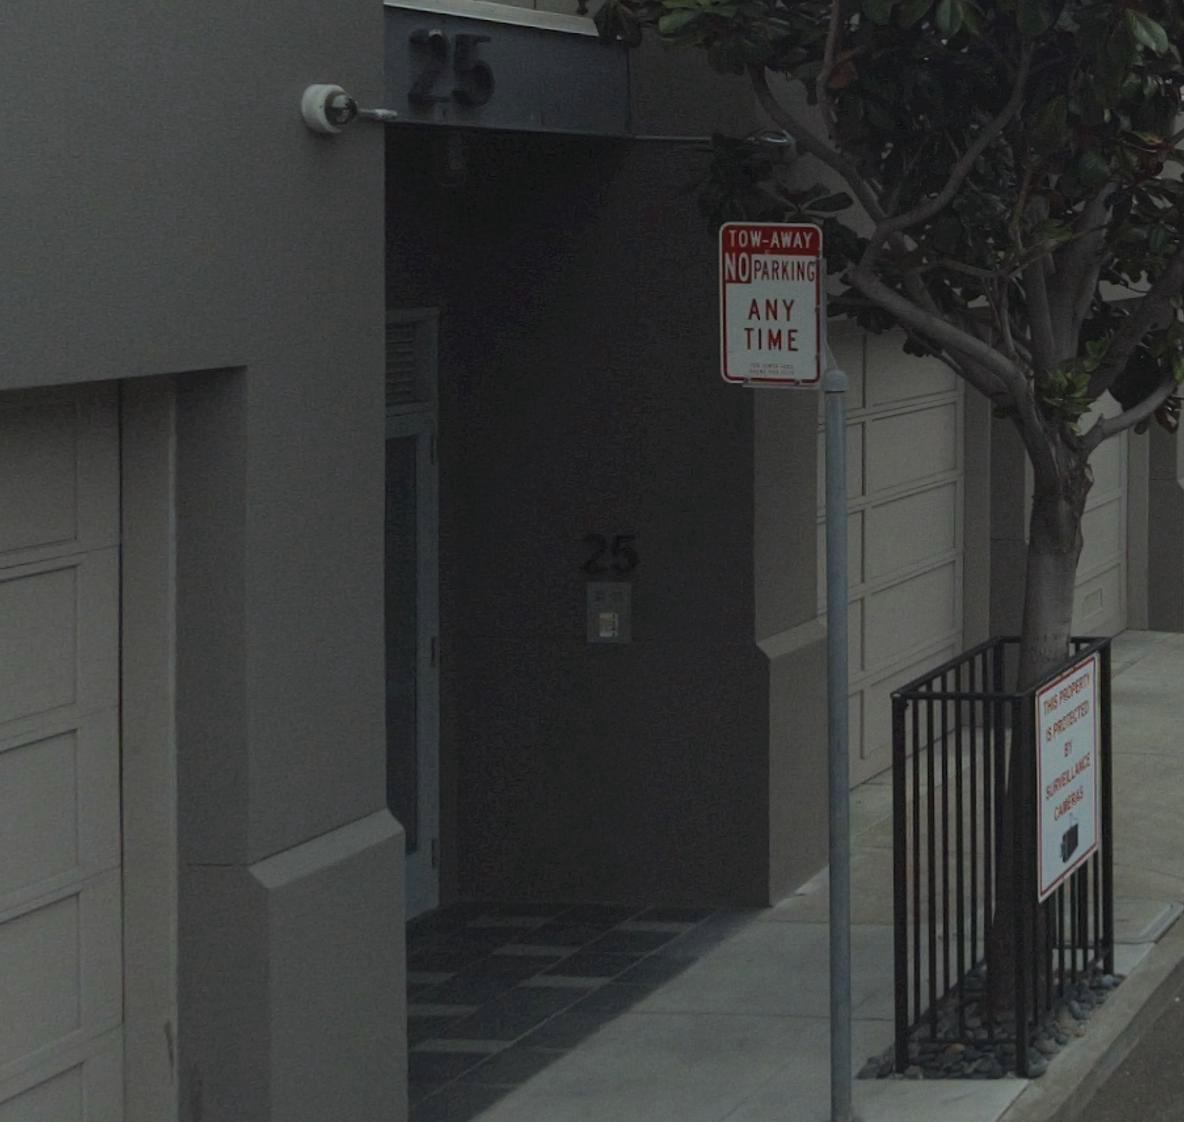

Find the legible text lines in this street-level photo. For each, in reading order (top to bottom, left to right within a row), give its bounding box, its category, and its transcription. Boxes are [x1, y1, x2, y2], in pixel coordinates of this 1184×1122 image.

[404, 26, 497, 109] StreetNumber: 25
[724, 225, 817, 252] None: TOW-AWAY
[721, 247, 819, 286] None: NO PARKING
[742, 294, 799, 324] None: ANY
[740, 323, 803, 356] None: TIME
[578, 531, 640, 575] StreetNumber: 25